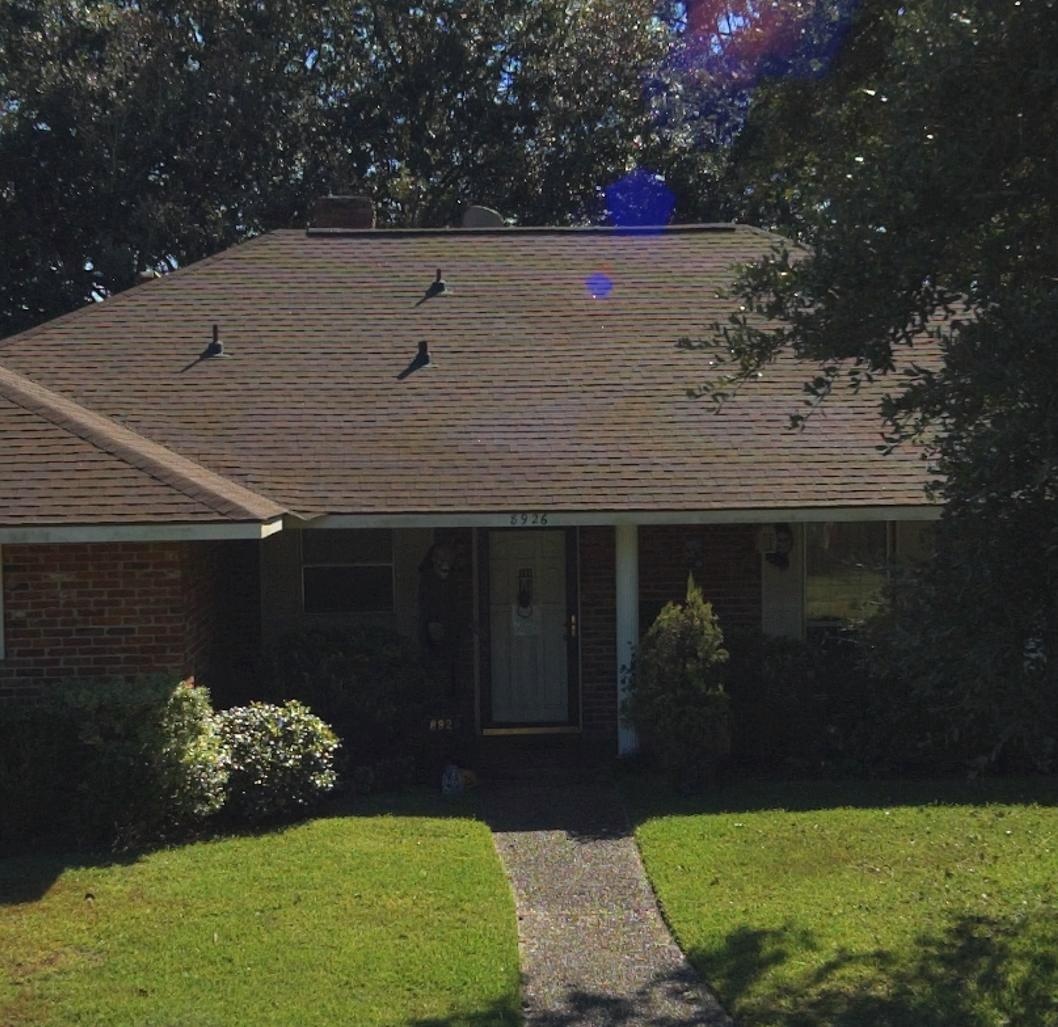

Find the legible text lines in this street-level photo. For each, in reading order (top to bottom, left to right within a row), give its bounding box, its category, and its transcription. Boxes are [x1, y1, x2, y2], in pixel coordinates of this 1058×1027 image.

[509, 512, 549, 526] StreetNumber: 8926
[426, 715, 463, 734] StreetNumber: 8926